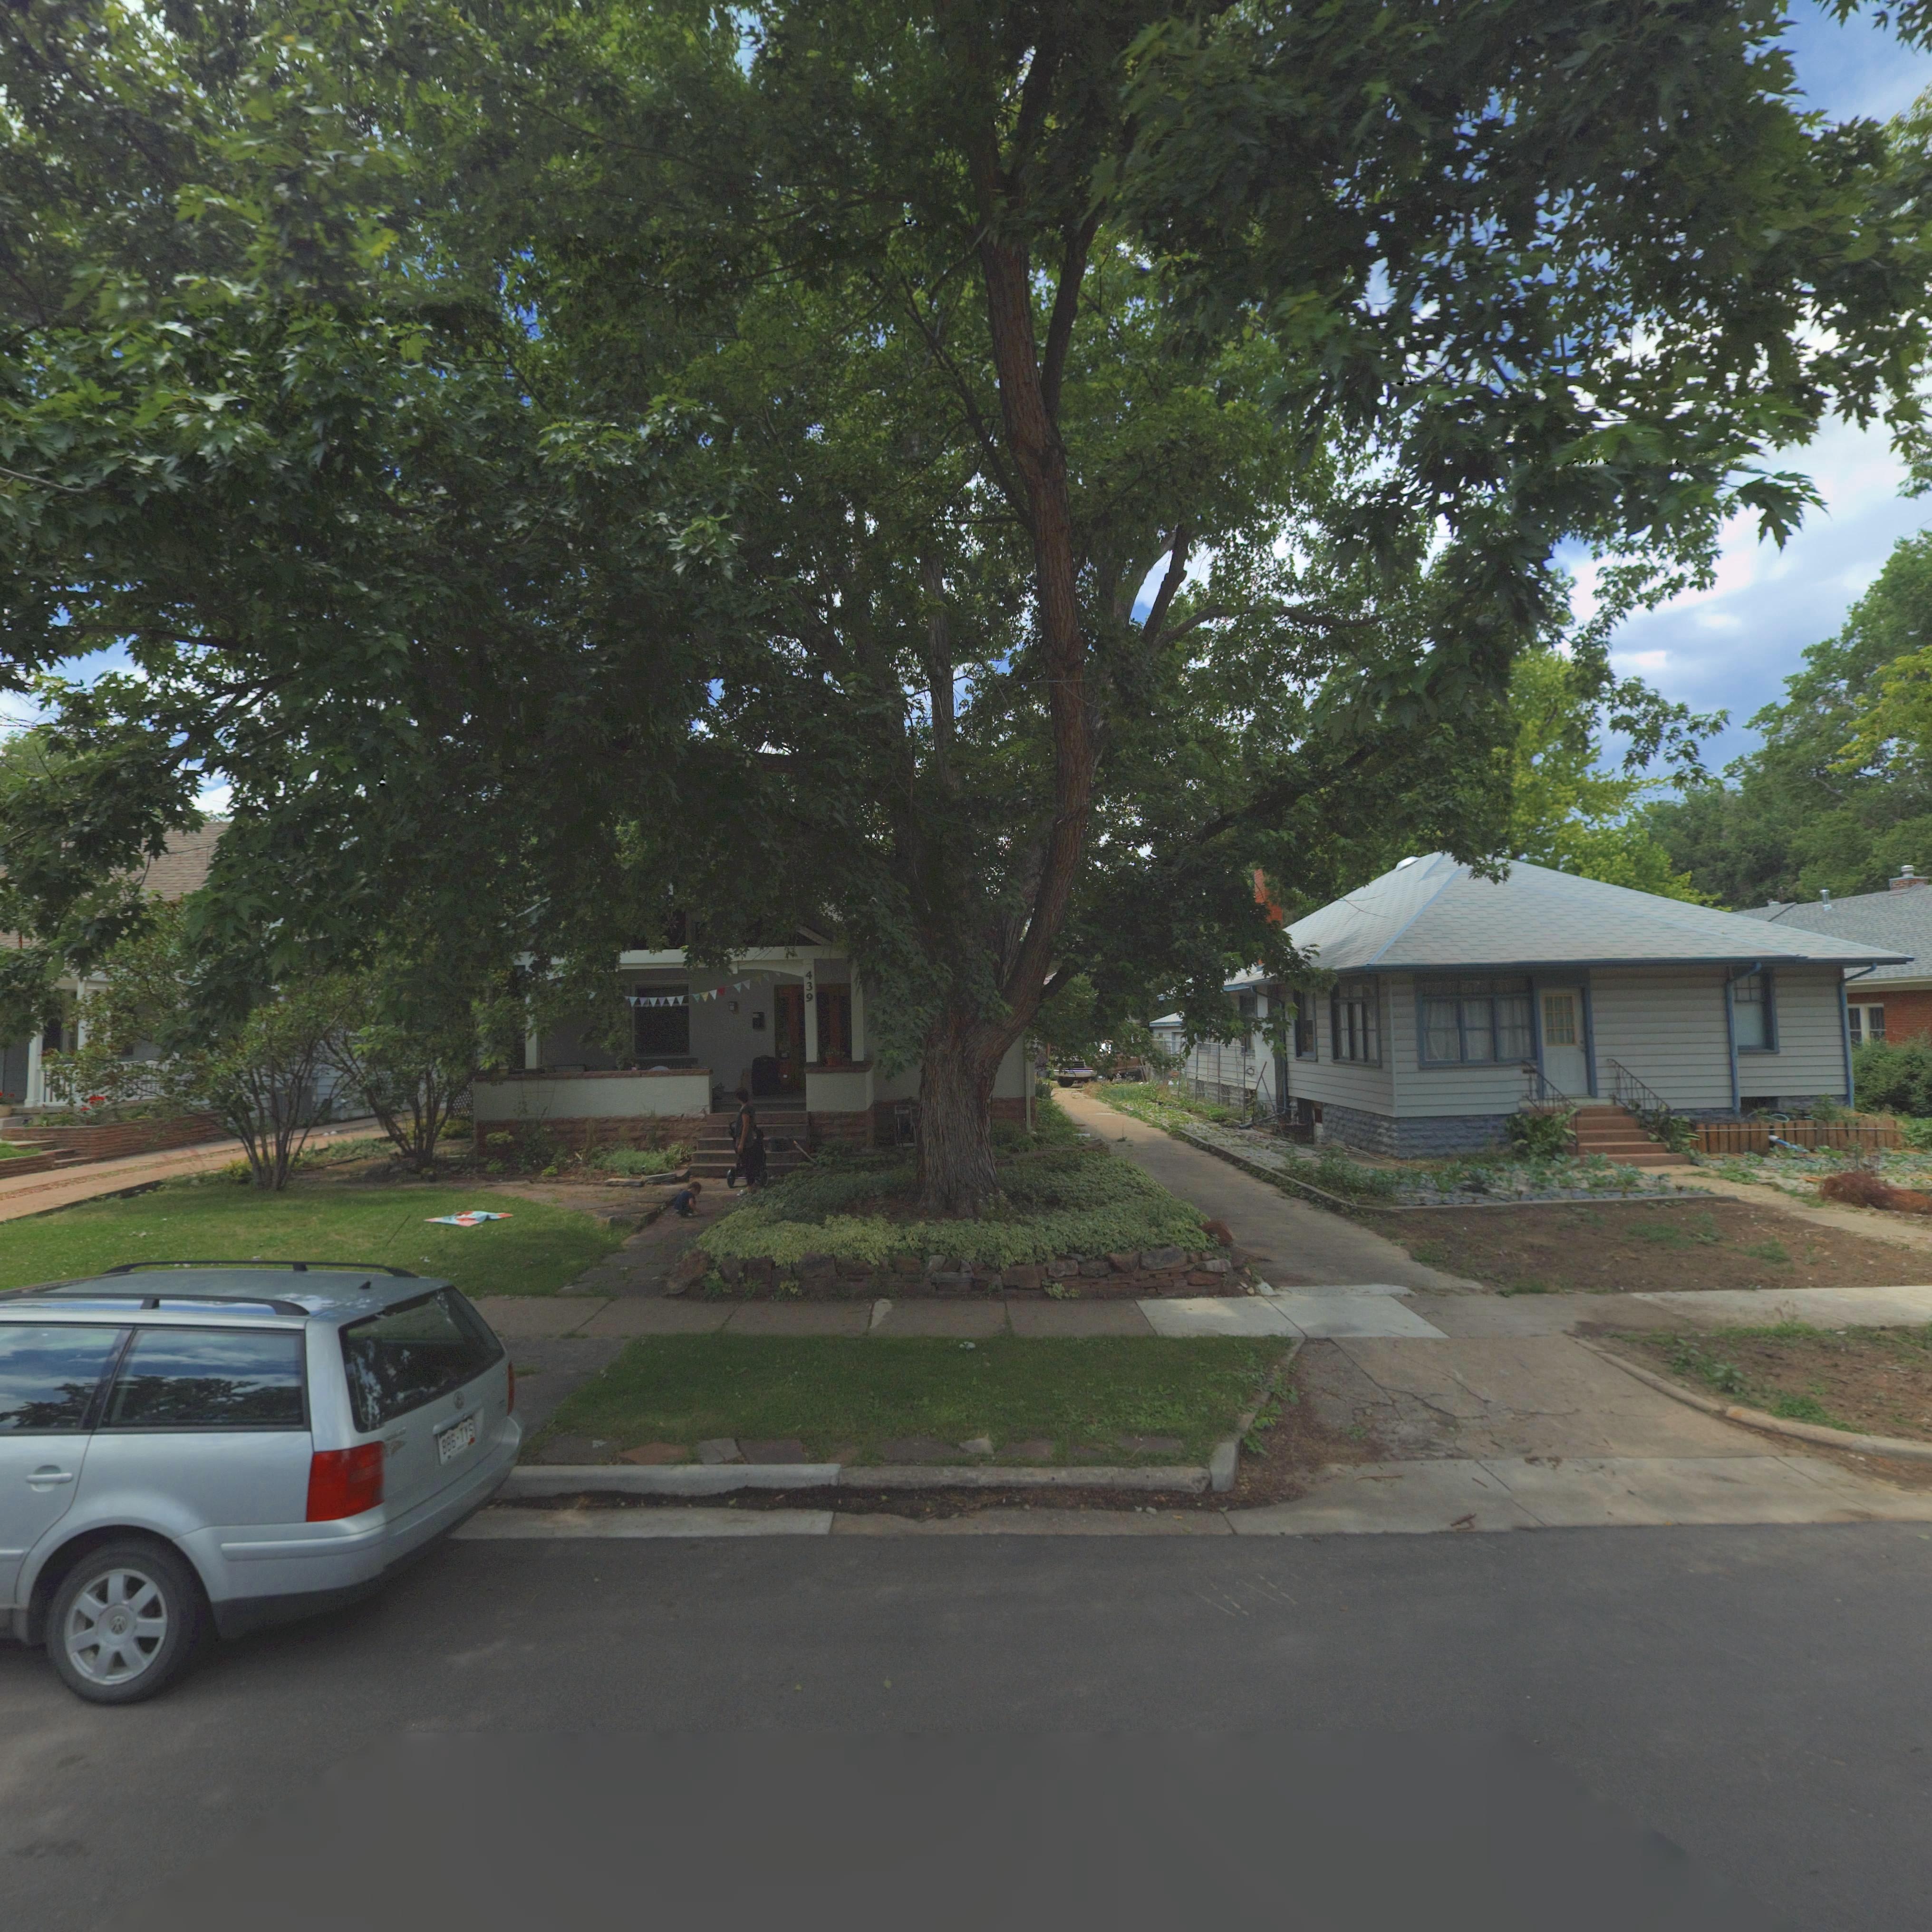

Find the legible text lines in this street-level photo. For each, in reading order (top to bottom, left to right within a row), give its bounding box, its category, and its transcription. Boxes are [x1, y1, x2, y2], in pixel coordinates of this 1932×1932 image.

[805, 969, 814, 1003] StreetNumber: 439